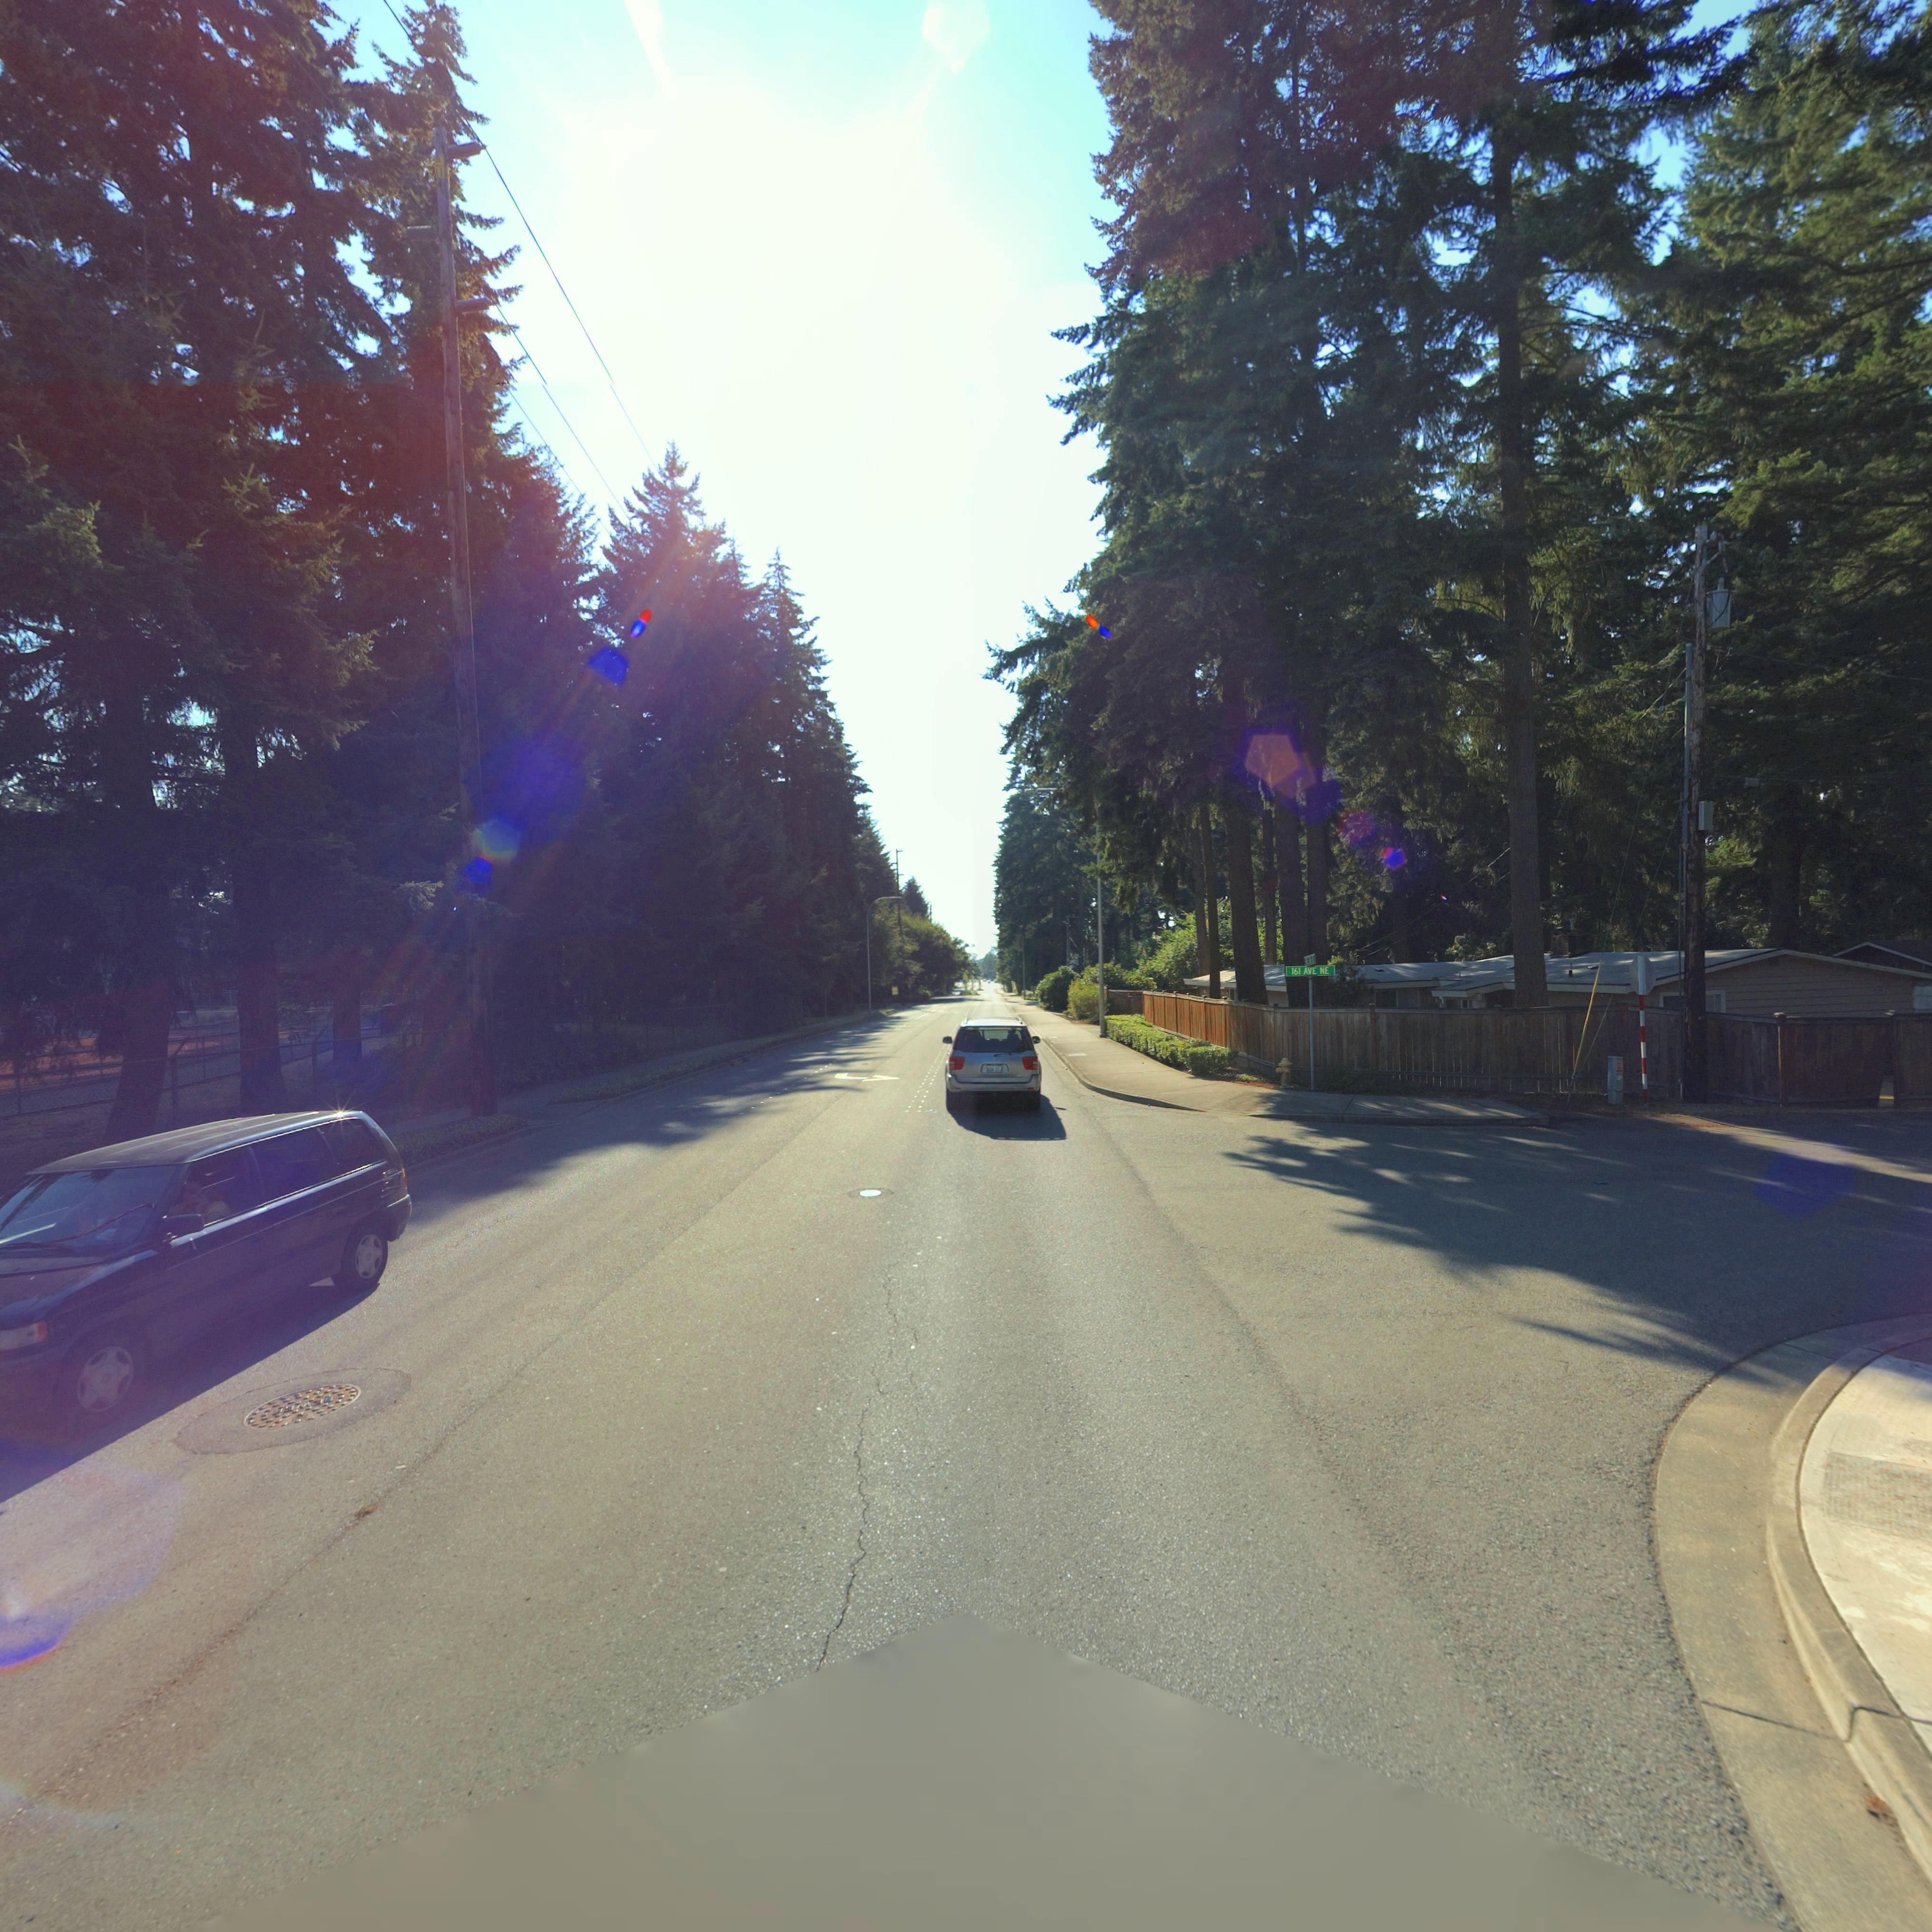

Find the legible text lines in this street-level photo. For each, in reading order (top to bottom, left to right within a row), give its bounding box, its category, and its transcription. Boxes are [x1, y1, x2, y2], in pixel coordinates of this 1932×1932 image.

[1292, 967, 1328, 974] StreetName: 161 AVE NE